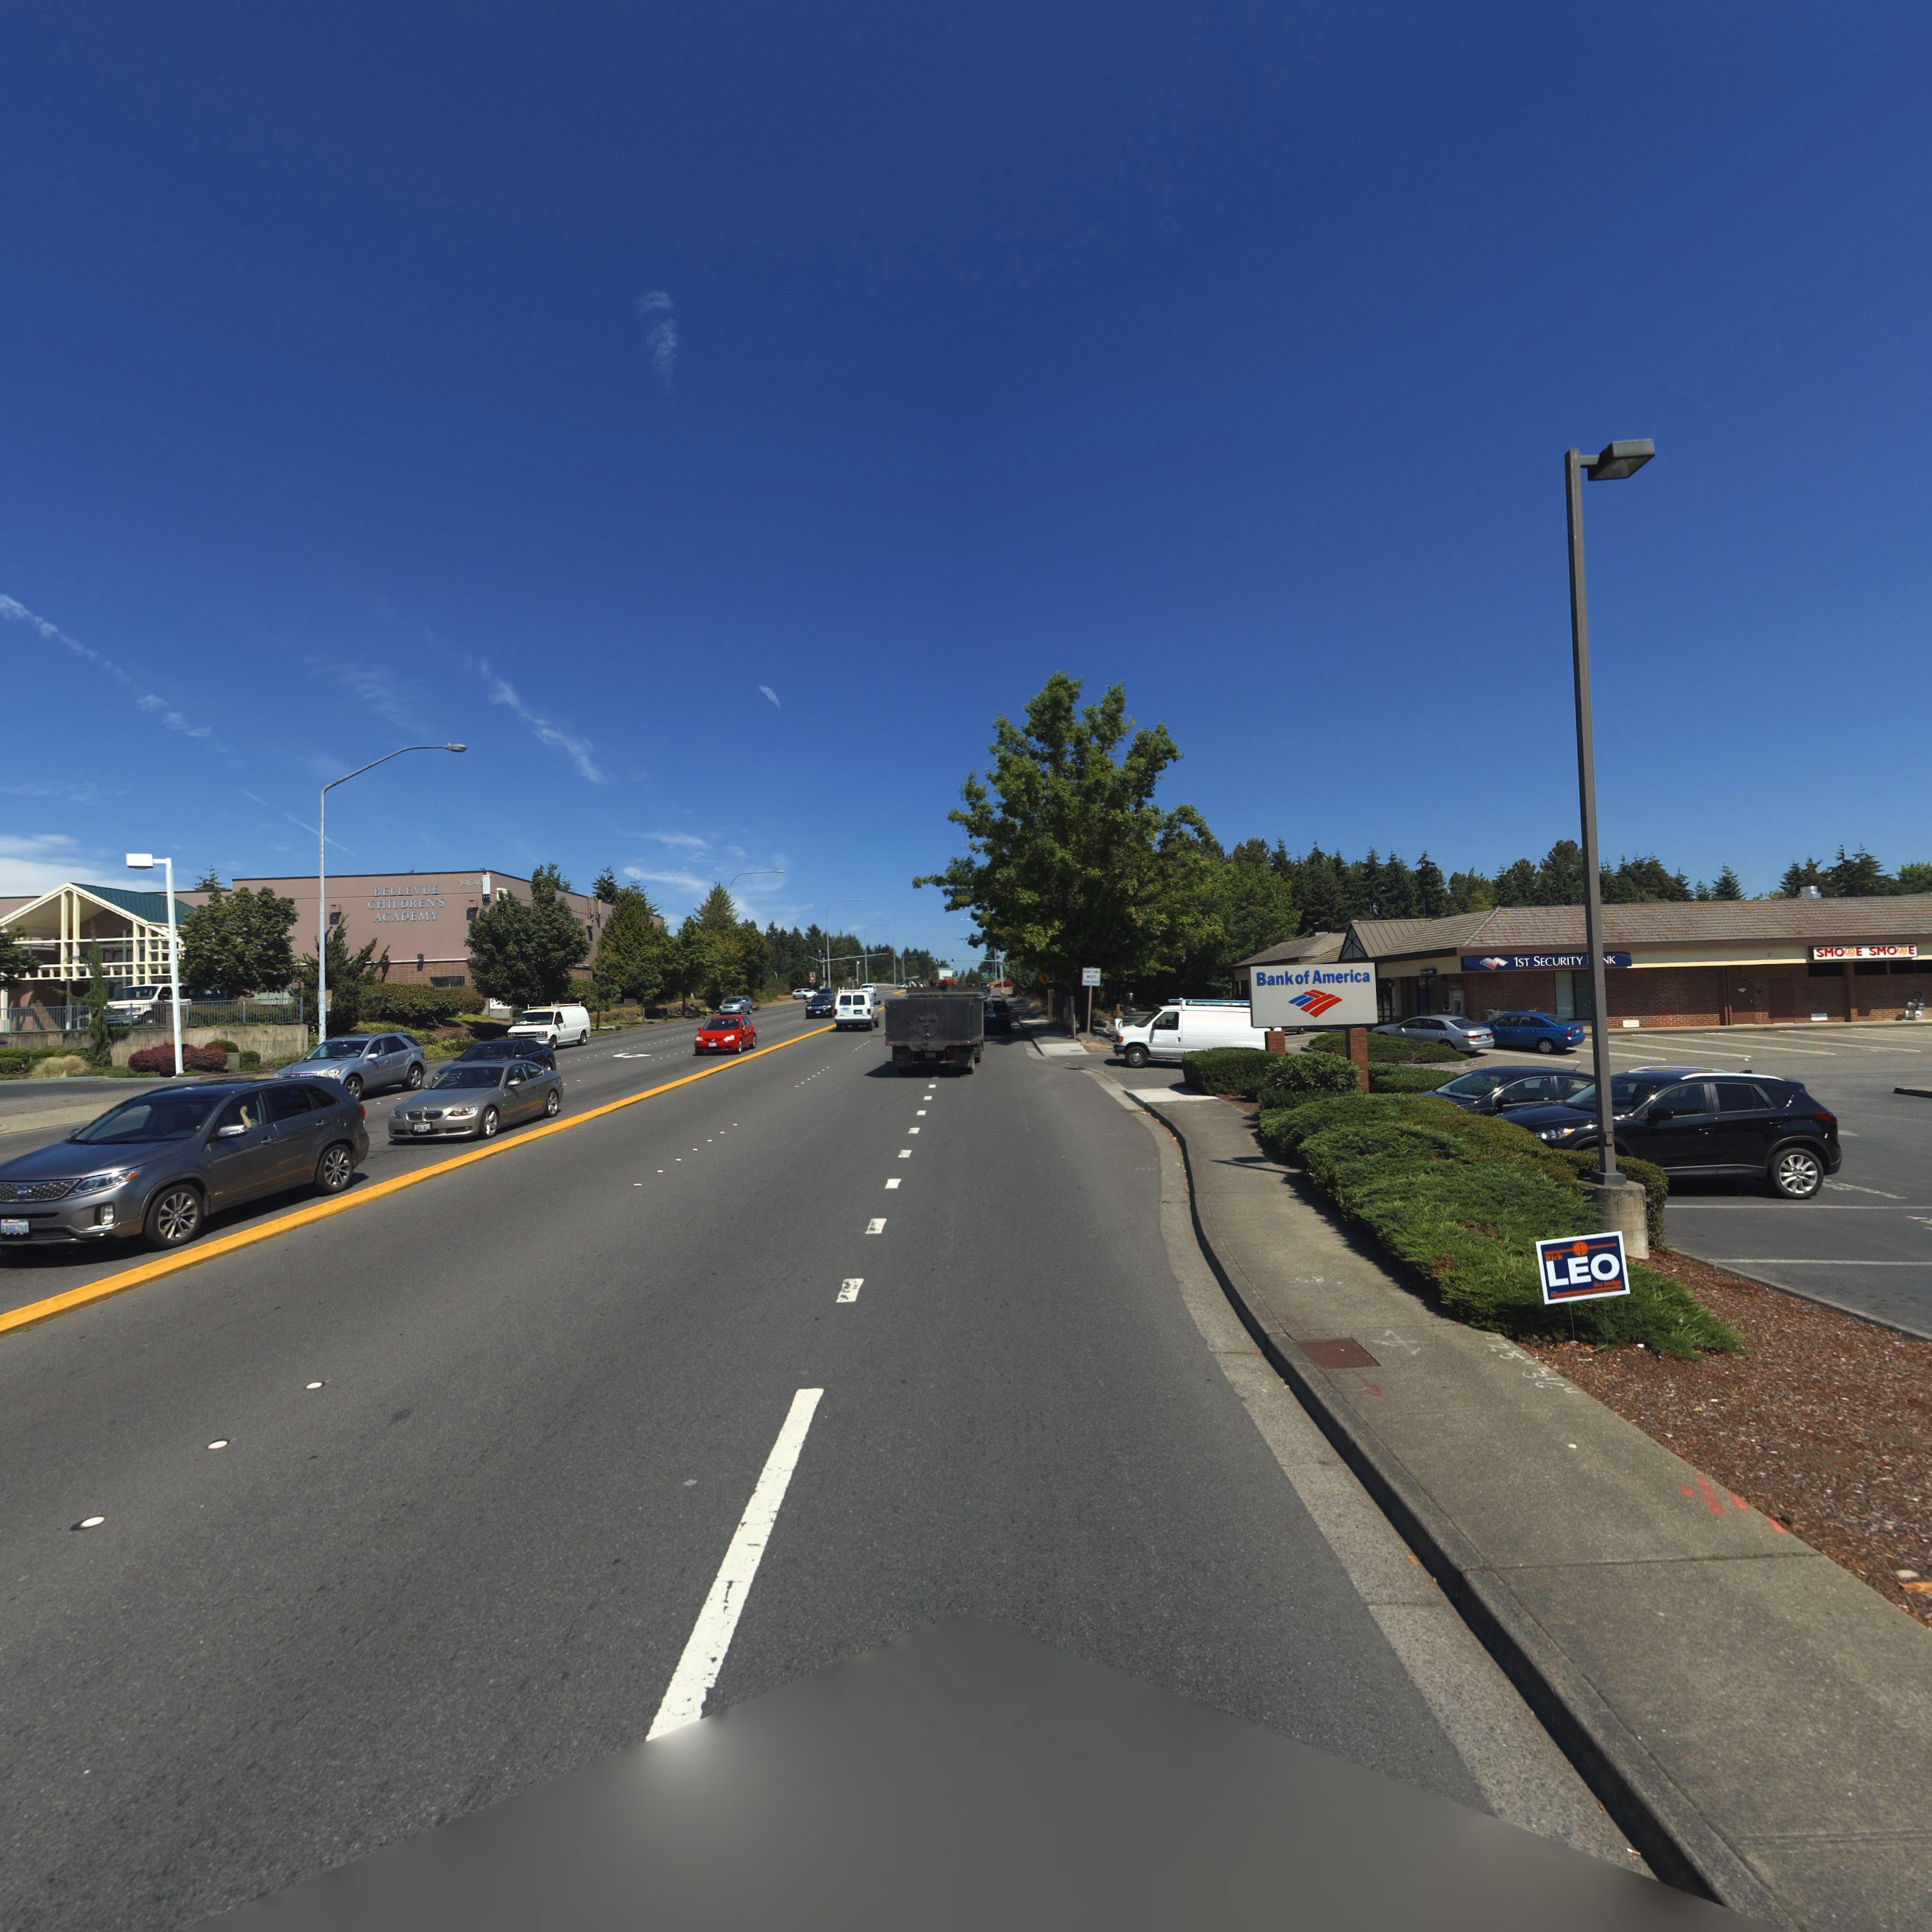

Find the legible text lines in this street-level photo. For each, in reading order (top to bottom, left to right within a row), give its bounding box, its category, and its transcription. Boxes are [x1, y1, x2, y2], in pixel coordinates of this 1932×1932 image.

[458, 879, 481, 887] StreetNumber: 1464*
[374, 885, 438, 896] BusinessName: BELLEVUE
[367, 898, 444, 910] BusinessName: CHILDREN'S
[373, 910, 438, 922] BusinessName: ACADEMY
[1816, 945, 1915, 957] BusinessName: SMO*E SMO*E
[1513, 955, 1616, 966] BusinessName: 1ST SECURITY ***K
[1256, 969, 1369, 985] BusinessName: Bank of America